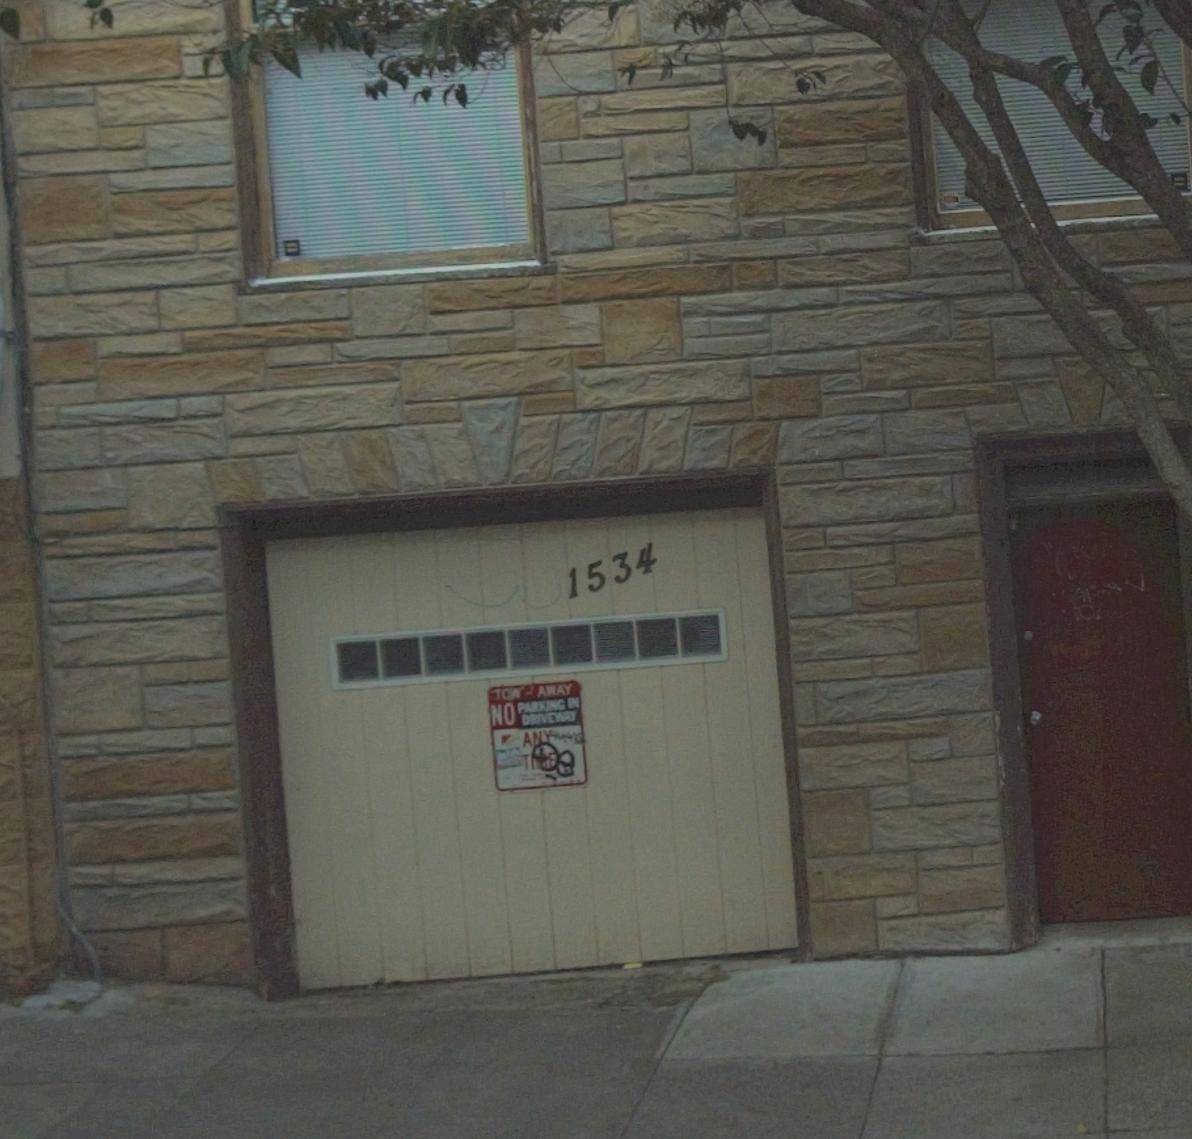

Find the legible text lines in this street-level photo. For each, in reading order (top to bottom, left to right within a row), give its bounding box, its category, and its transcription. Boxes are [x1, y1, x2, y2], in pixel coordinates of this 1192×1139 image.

[566, 537, 658, 604] StreetNumber: 1534
[492, 681, 575, 704] None: TOW-AWAY
[488, 700, 517, 728] None: NO
[519, 708, 577, 727] None: DRIVE WAY
[516, 694, 581, 716] None: PARKING IN
[521, 728, 555, 749] None: ANY